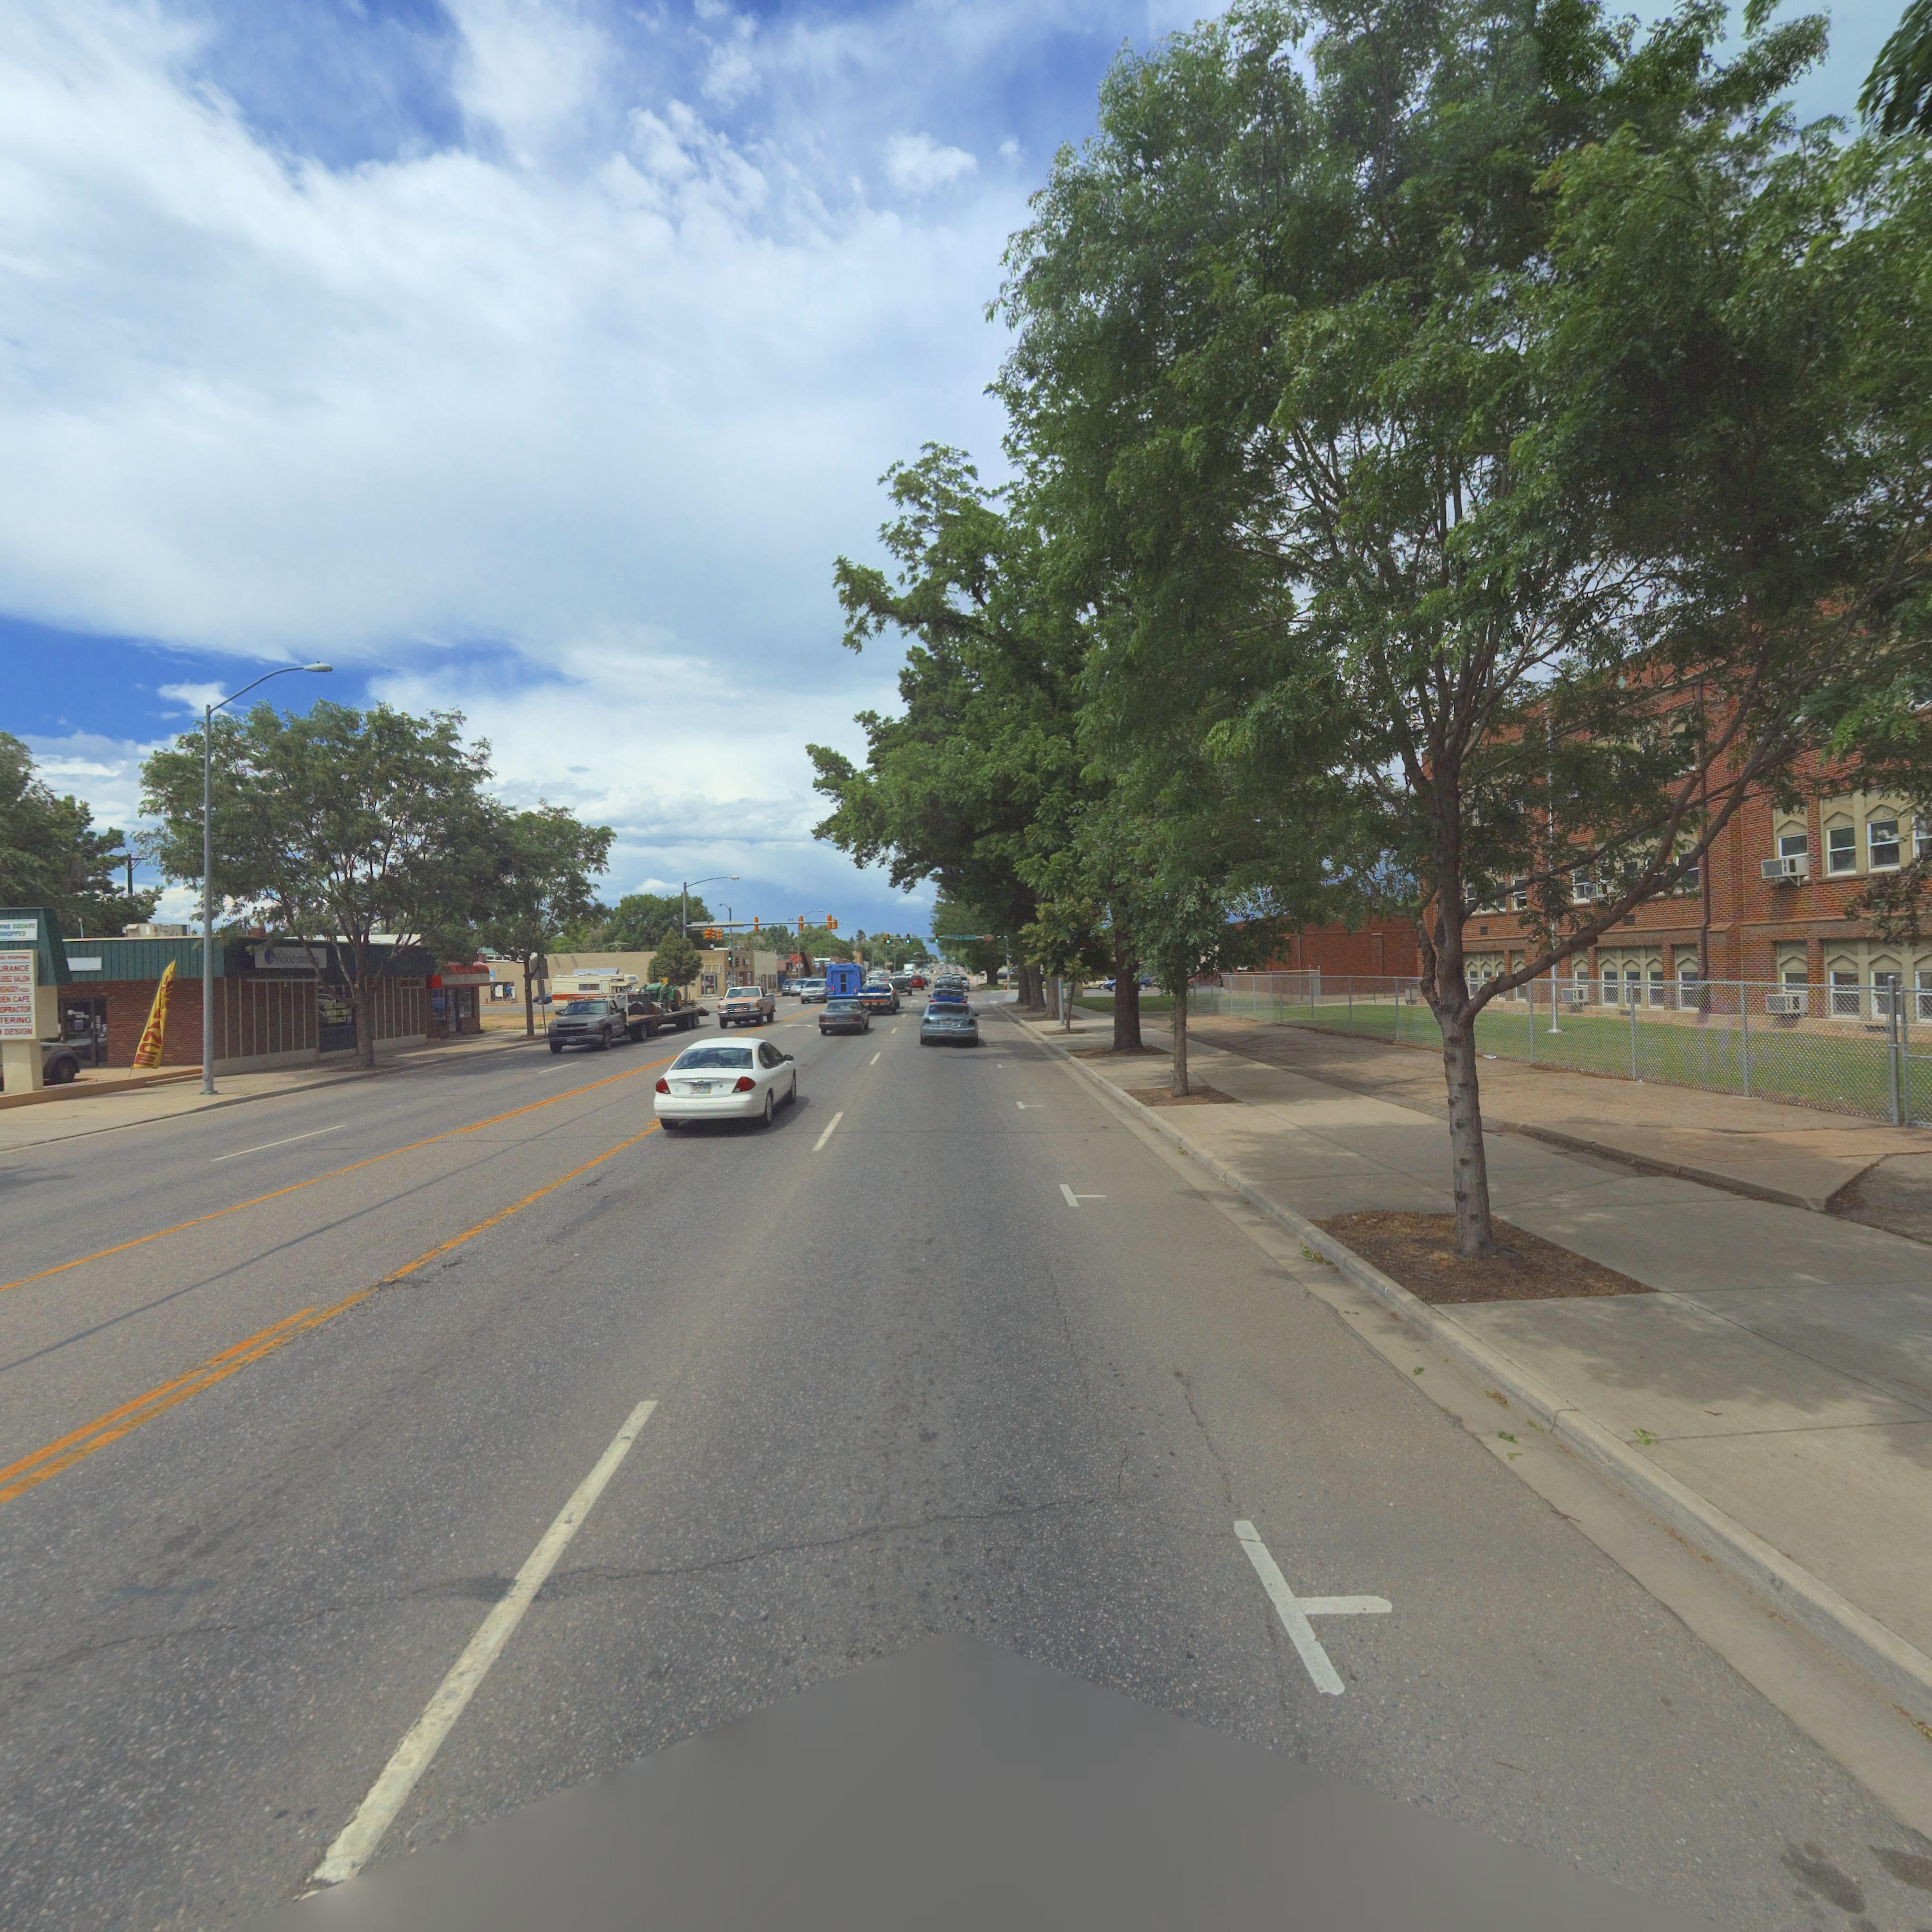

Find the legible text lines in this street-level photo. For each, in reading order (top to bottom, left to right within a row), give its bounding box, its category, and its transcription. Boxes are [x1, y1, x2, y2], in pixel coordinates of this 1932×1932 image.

[269, 954, 320, 966] BusinessName: e*ood sta*****
[1, 975, 30, 982] BusinessName: DER SALON
[2, 995, 30, 1003] BusinessName: EN CAFE
[5, 1028, 32, 1034] BusinessName: DESIGN